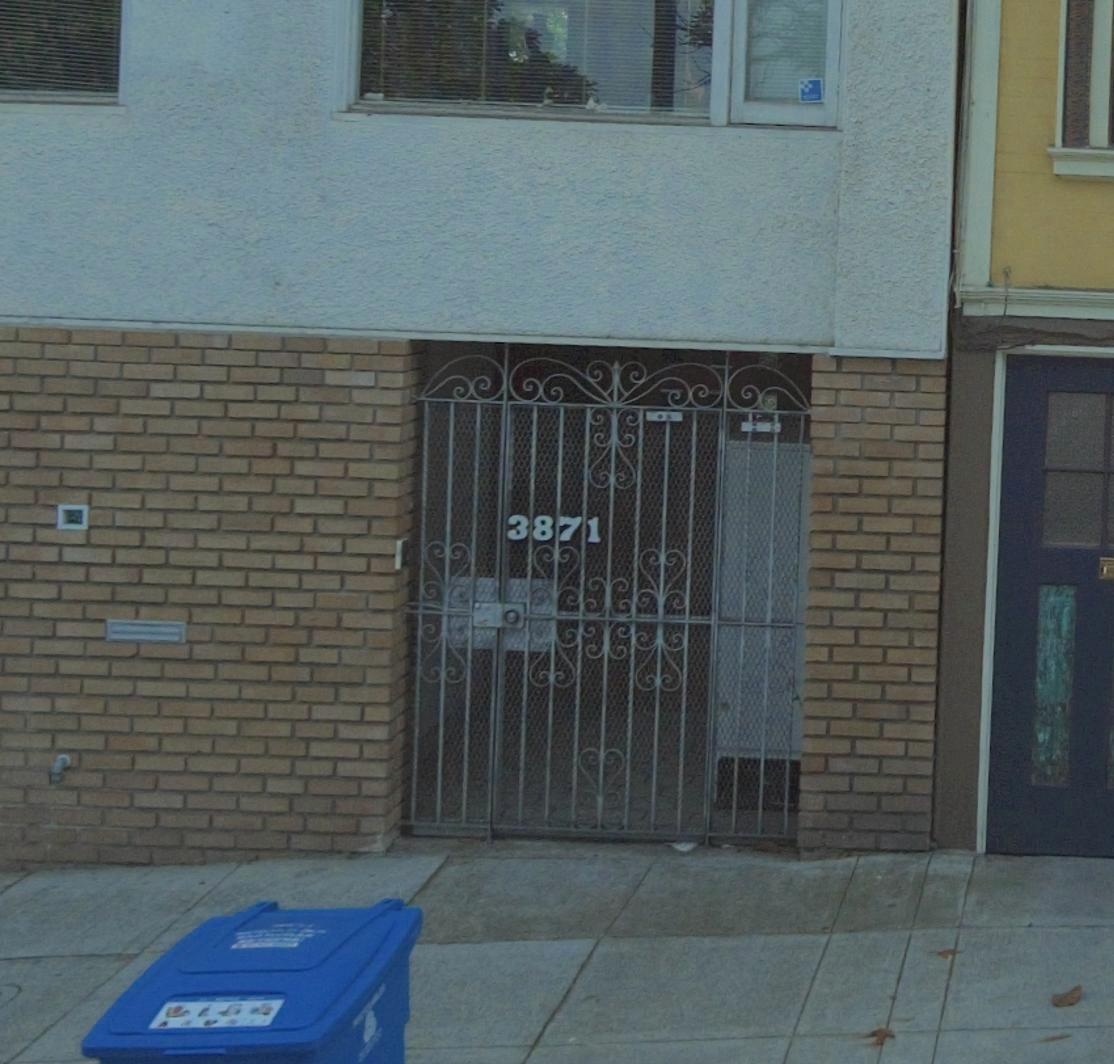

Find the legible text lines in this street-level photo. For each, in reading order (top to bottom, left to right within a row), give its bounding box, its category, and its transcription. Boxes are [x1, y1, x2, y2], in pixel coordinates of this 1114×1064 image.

[505, 513, 603, 544] StreetNumber: 3871